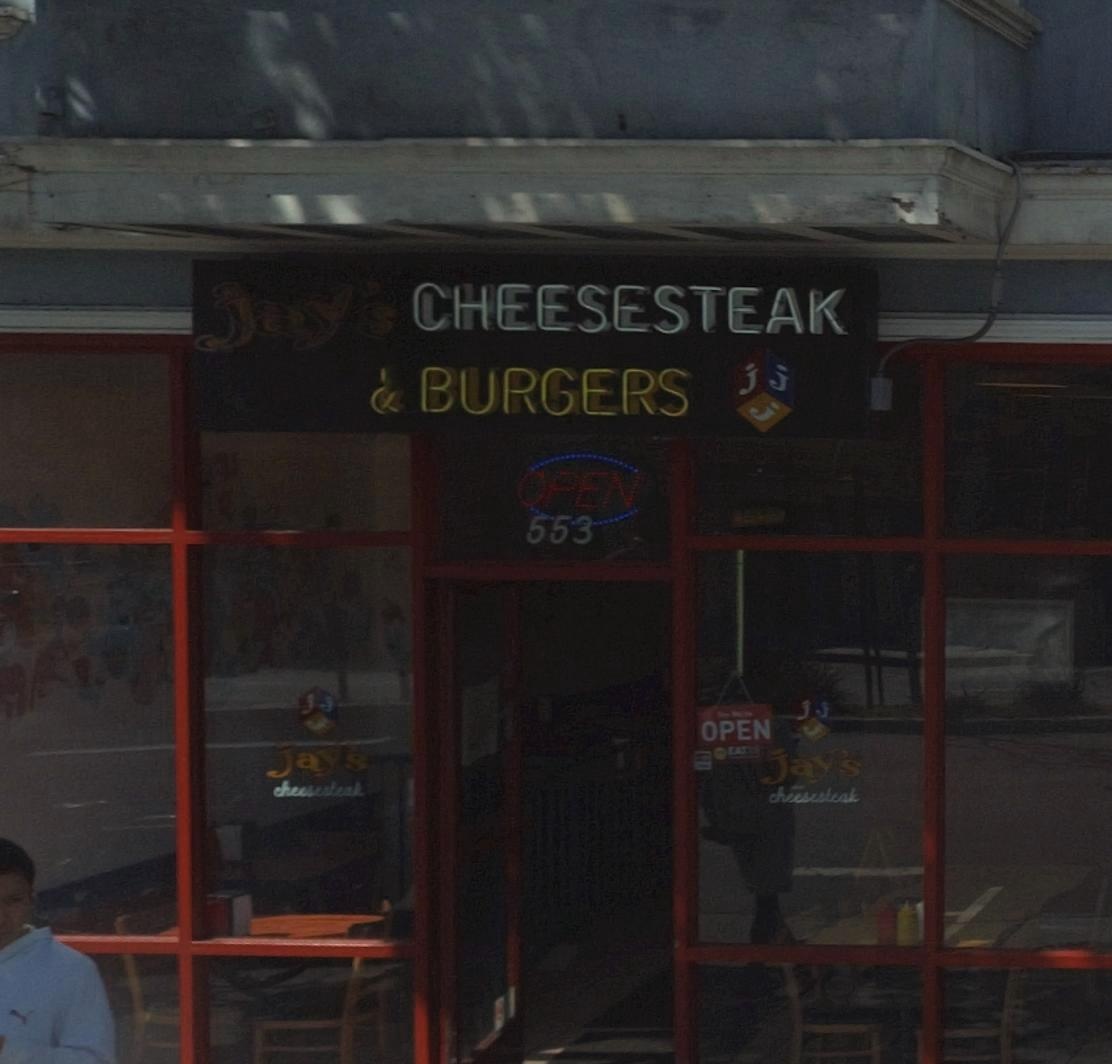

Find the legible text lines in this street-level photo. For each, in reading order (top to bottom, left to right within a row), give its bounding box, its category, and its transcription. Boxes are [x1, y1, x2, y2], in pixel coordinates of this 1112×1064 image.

[181, 273, 408, 364] BusinessName: jay's
[407, 278, 860, 338] None: CHEESESTEAK
[359, 362, 695, 428] None: & BURGERS
[513, 468, 651, 509] None: OPEN
[523, 513, 594, 546] StreetNumber: 553
[701, 718, 772, 744] None: OPEN
[261, 732, 374, 787] BusinessName: jay's
[750, 745, 872, 793] BusinessName: jay's